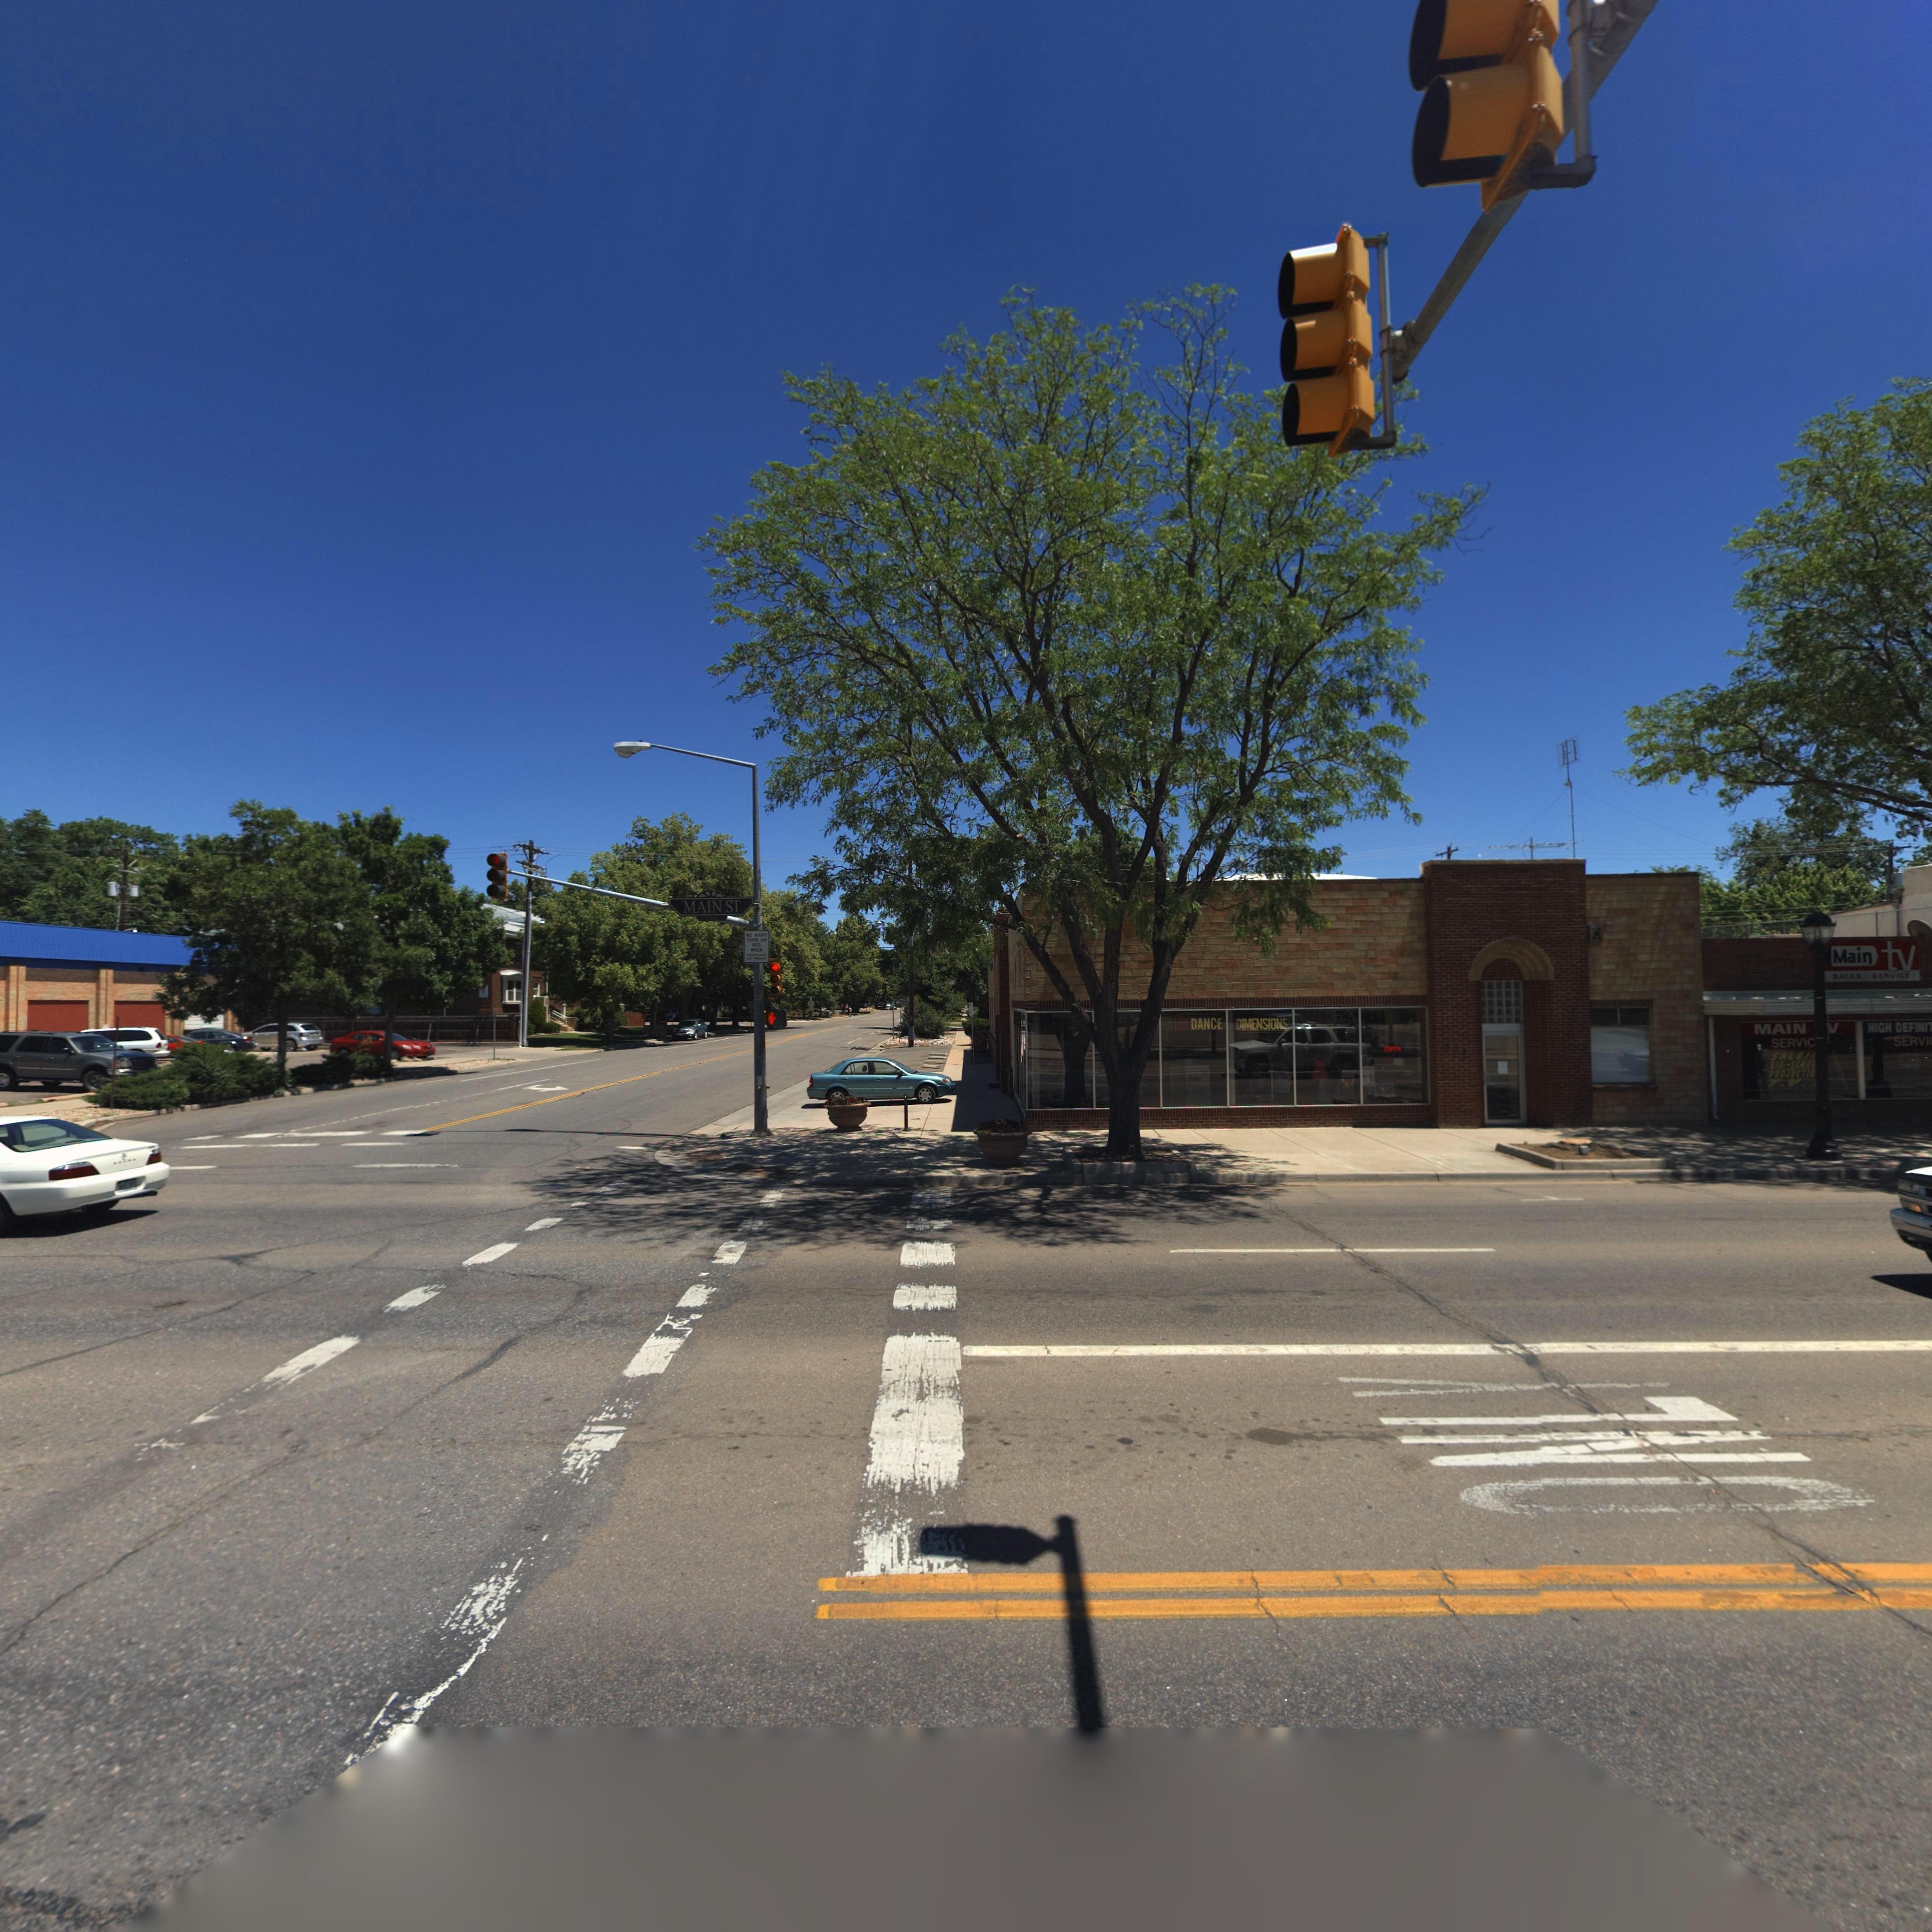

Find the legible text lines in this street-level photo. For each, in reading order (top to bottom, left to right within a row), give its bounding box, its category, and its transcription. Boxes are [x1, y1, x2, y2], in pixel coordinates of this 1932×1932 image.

[684, 899, 741, 913] StreetName: MAIN ST
[707, 916, 717, 920] StreetNumberRange: *00
[1832, 941, 1916, 971] BusinessName: Main tv
[1191, 1017, 1222, 1030] BusinessName: DANCE
[1236, 1017, 1289, 1030] BusinessName: DIMENSIONS
[1754, 1023, 1839, 1035] BusinessName: MAIN *V